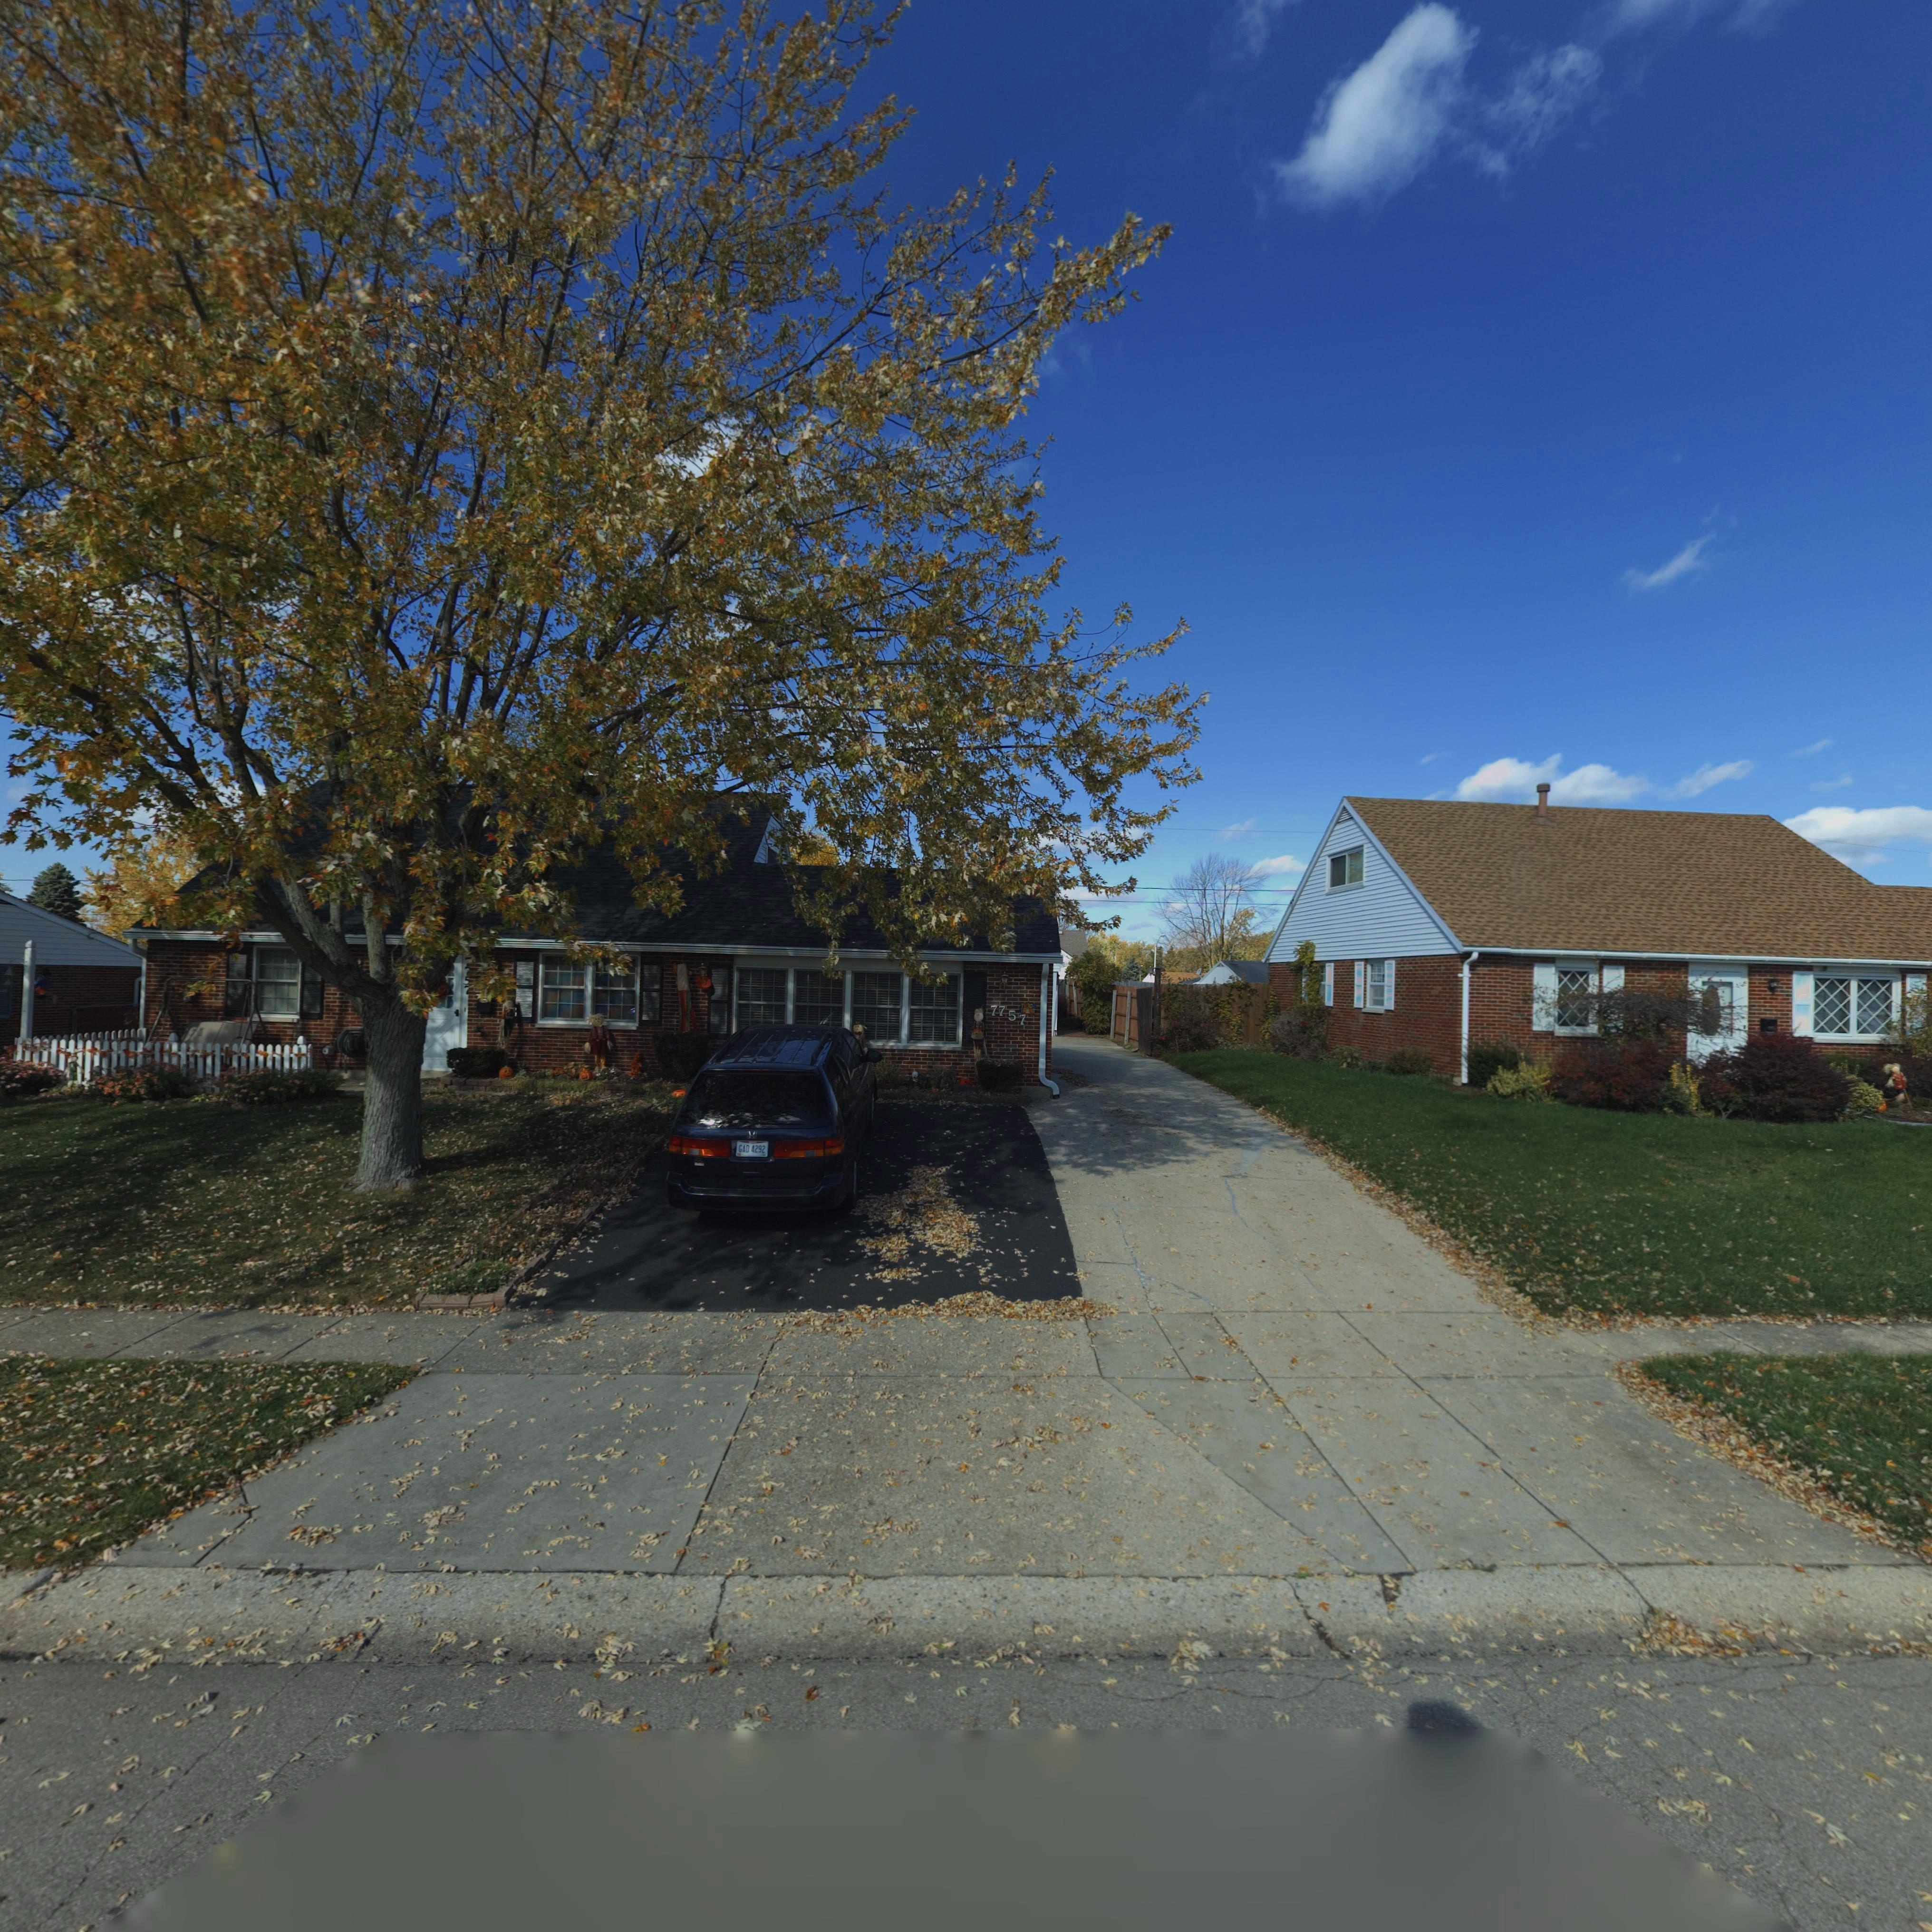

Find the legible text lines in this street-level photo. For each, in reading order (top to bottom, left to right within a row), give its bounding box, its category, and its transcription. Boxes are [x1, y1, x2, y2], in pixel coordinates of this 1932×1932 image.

[463, 976, 470, 995] StreetNumber: 57
[990, 1005, 1027, 1025] StreetNumber: 7757